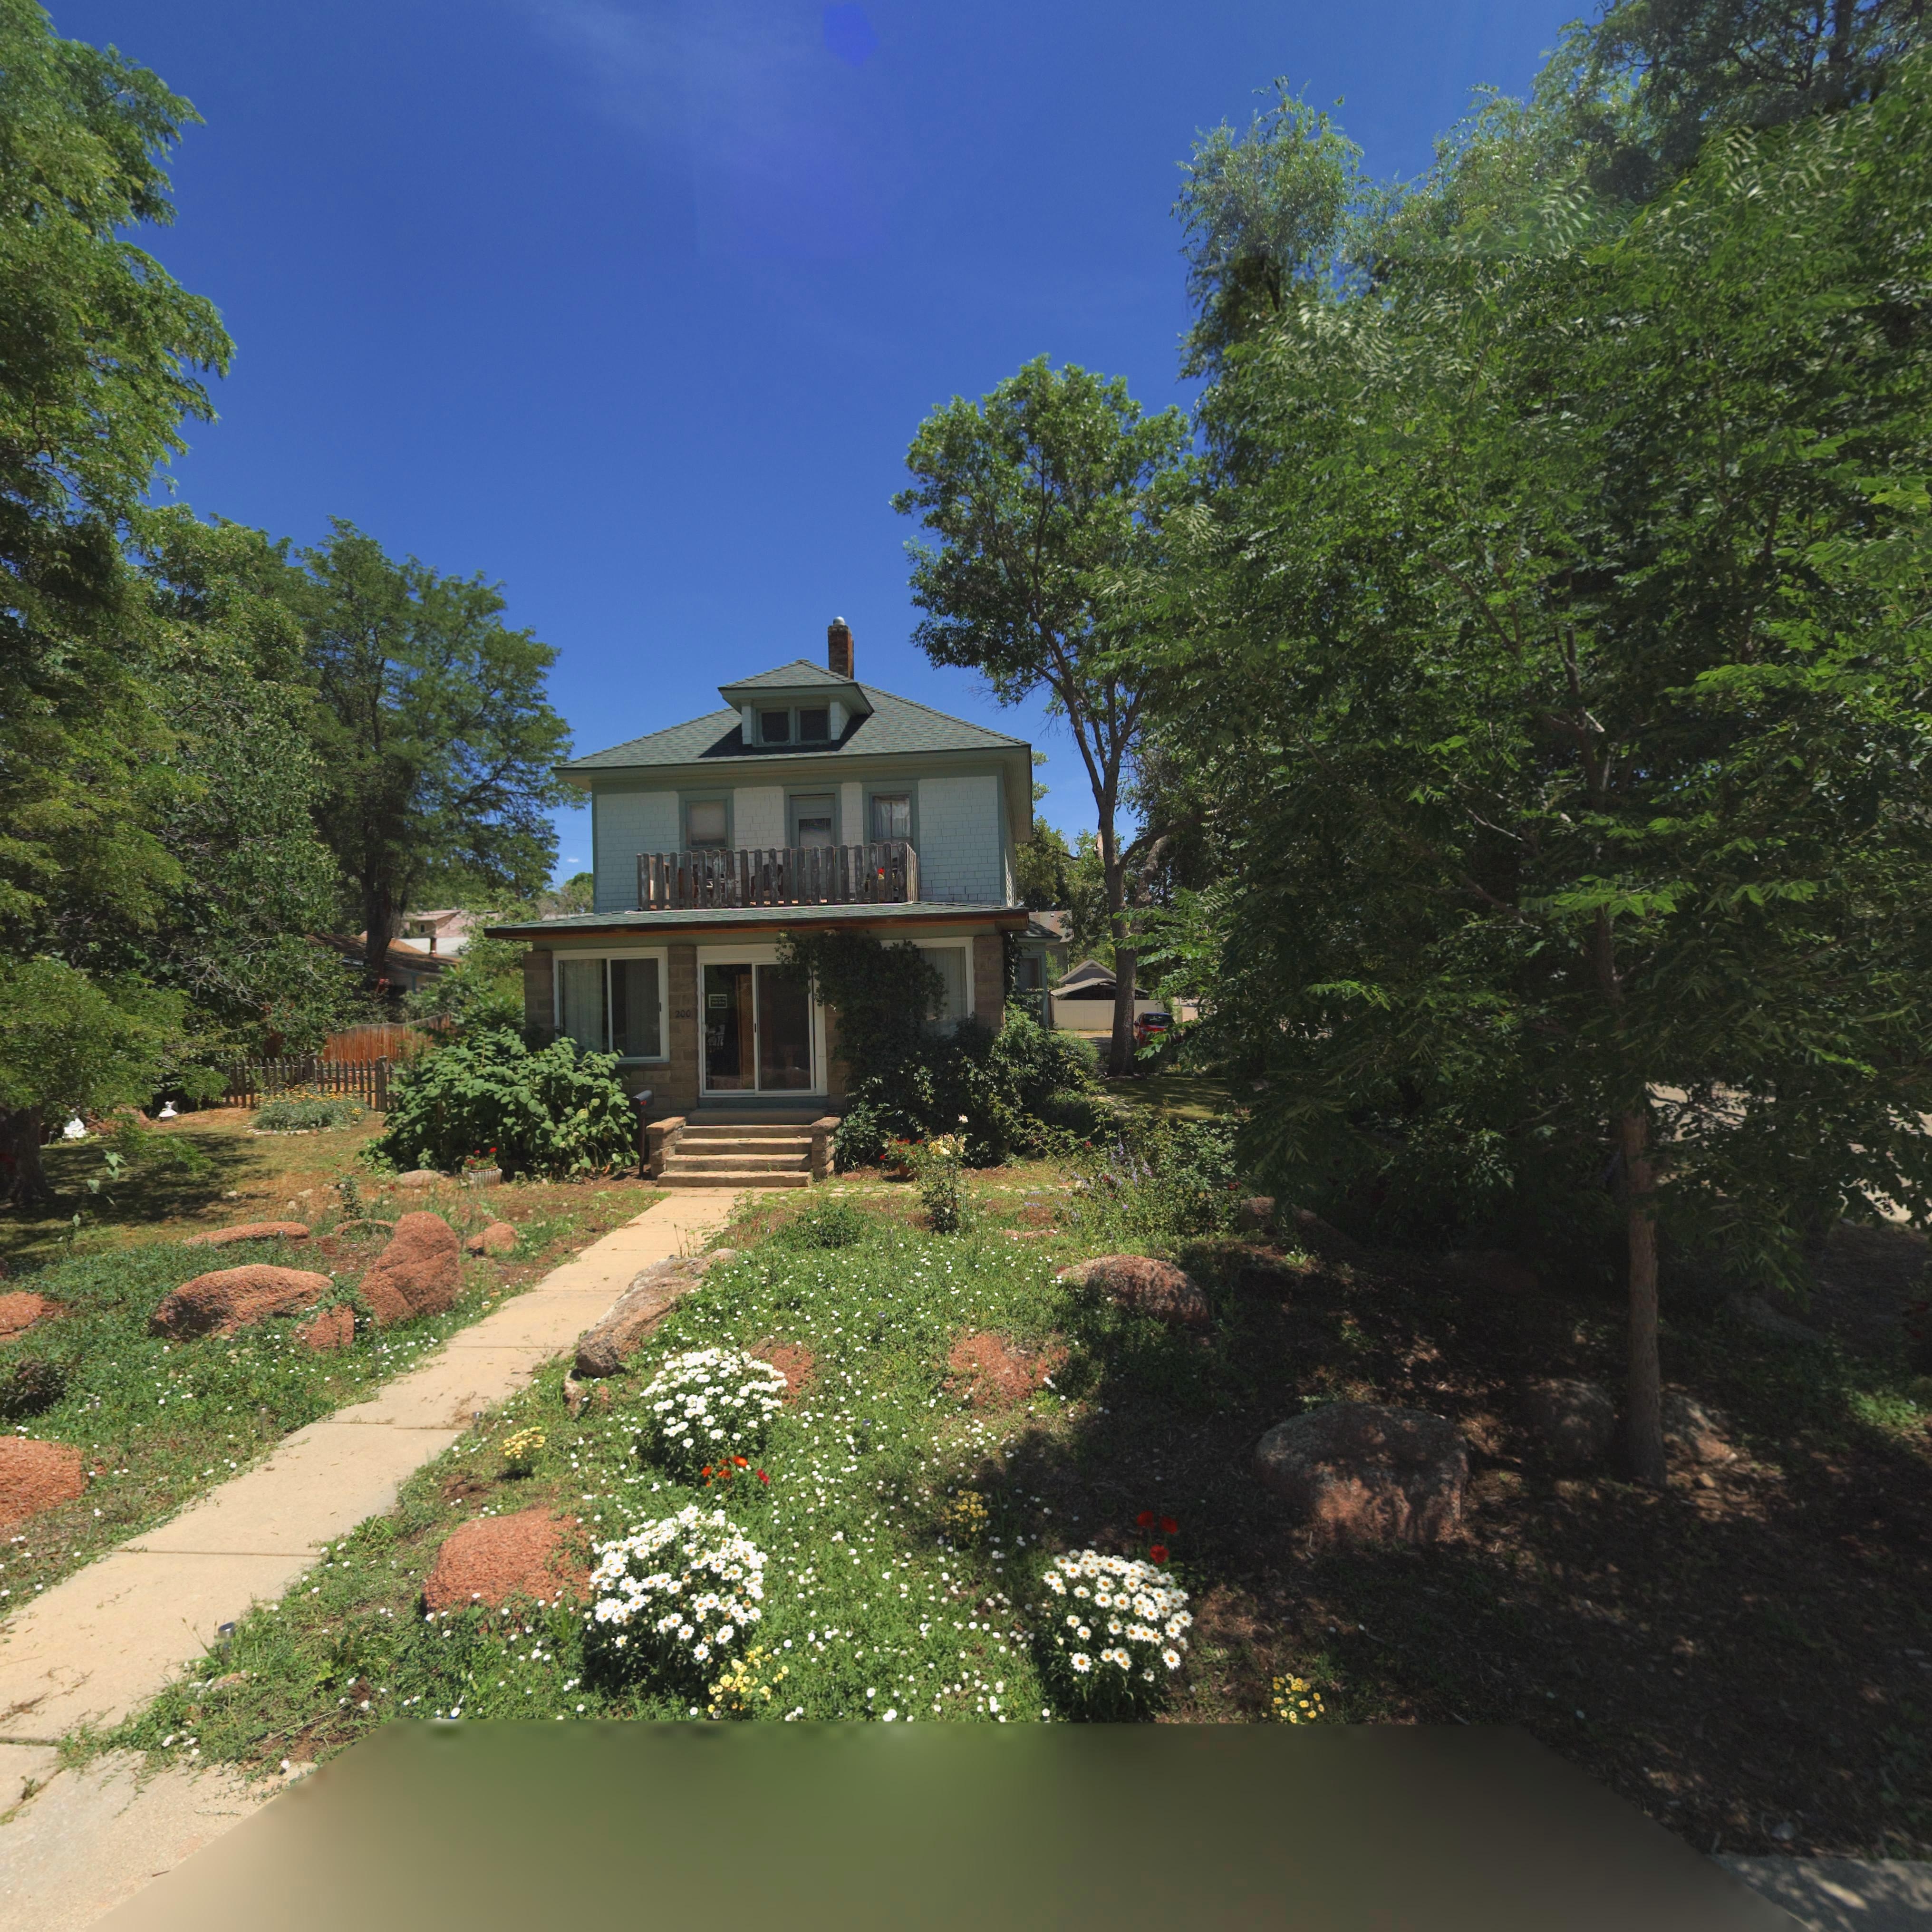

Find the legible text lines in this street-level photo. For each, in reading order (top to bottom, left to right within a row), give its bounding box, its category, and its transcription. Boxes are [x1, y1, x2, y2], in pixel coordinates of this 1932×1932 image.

[675, 1010, 691, 1018] StreetNumber: 200